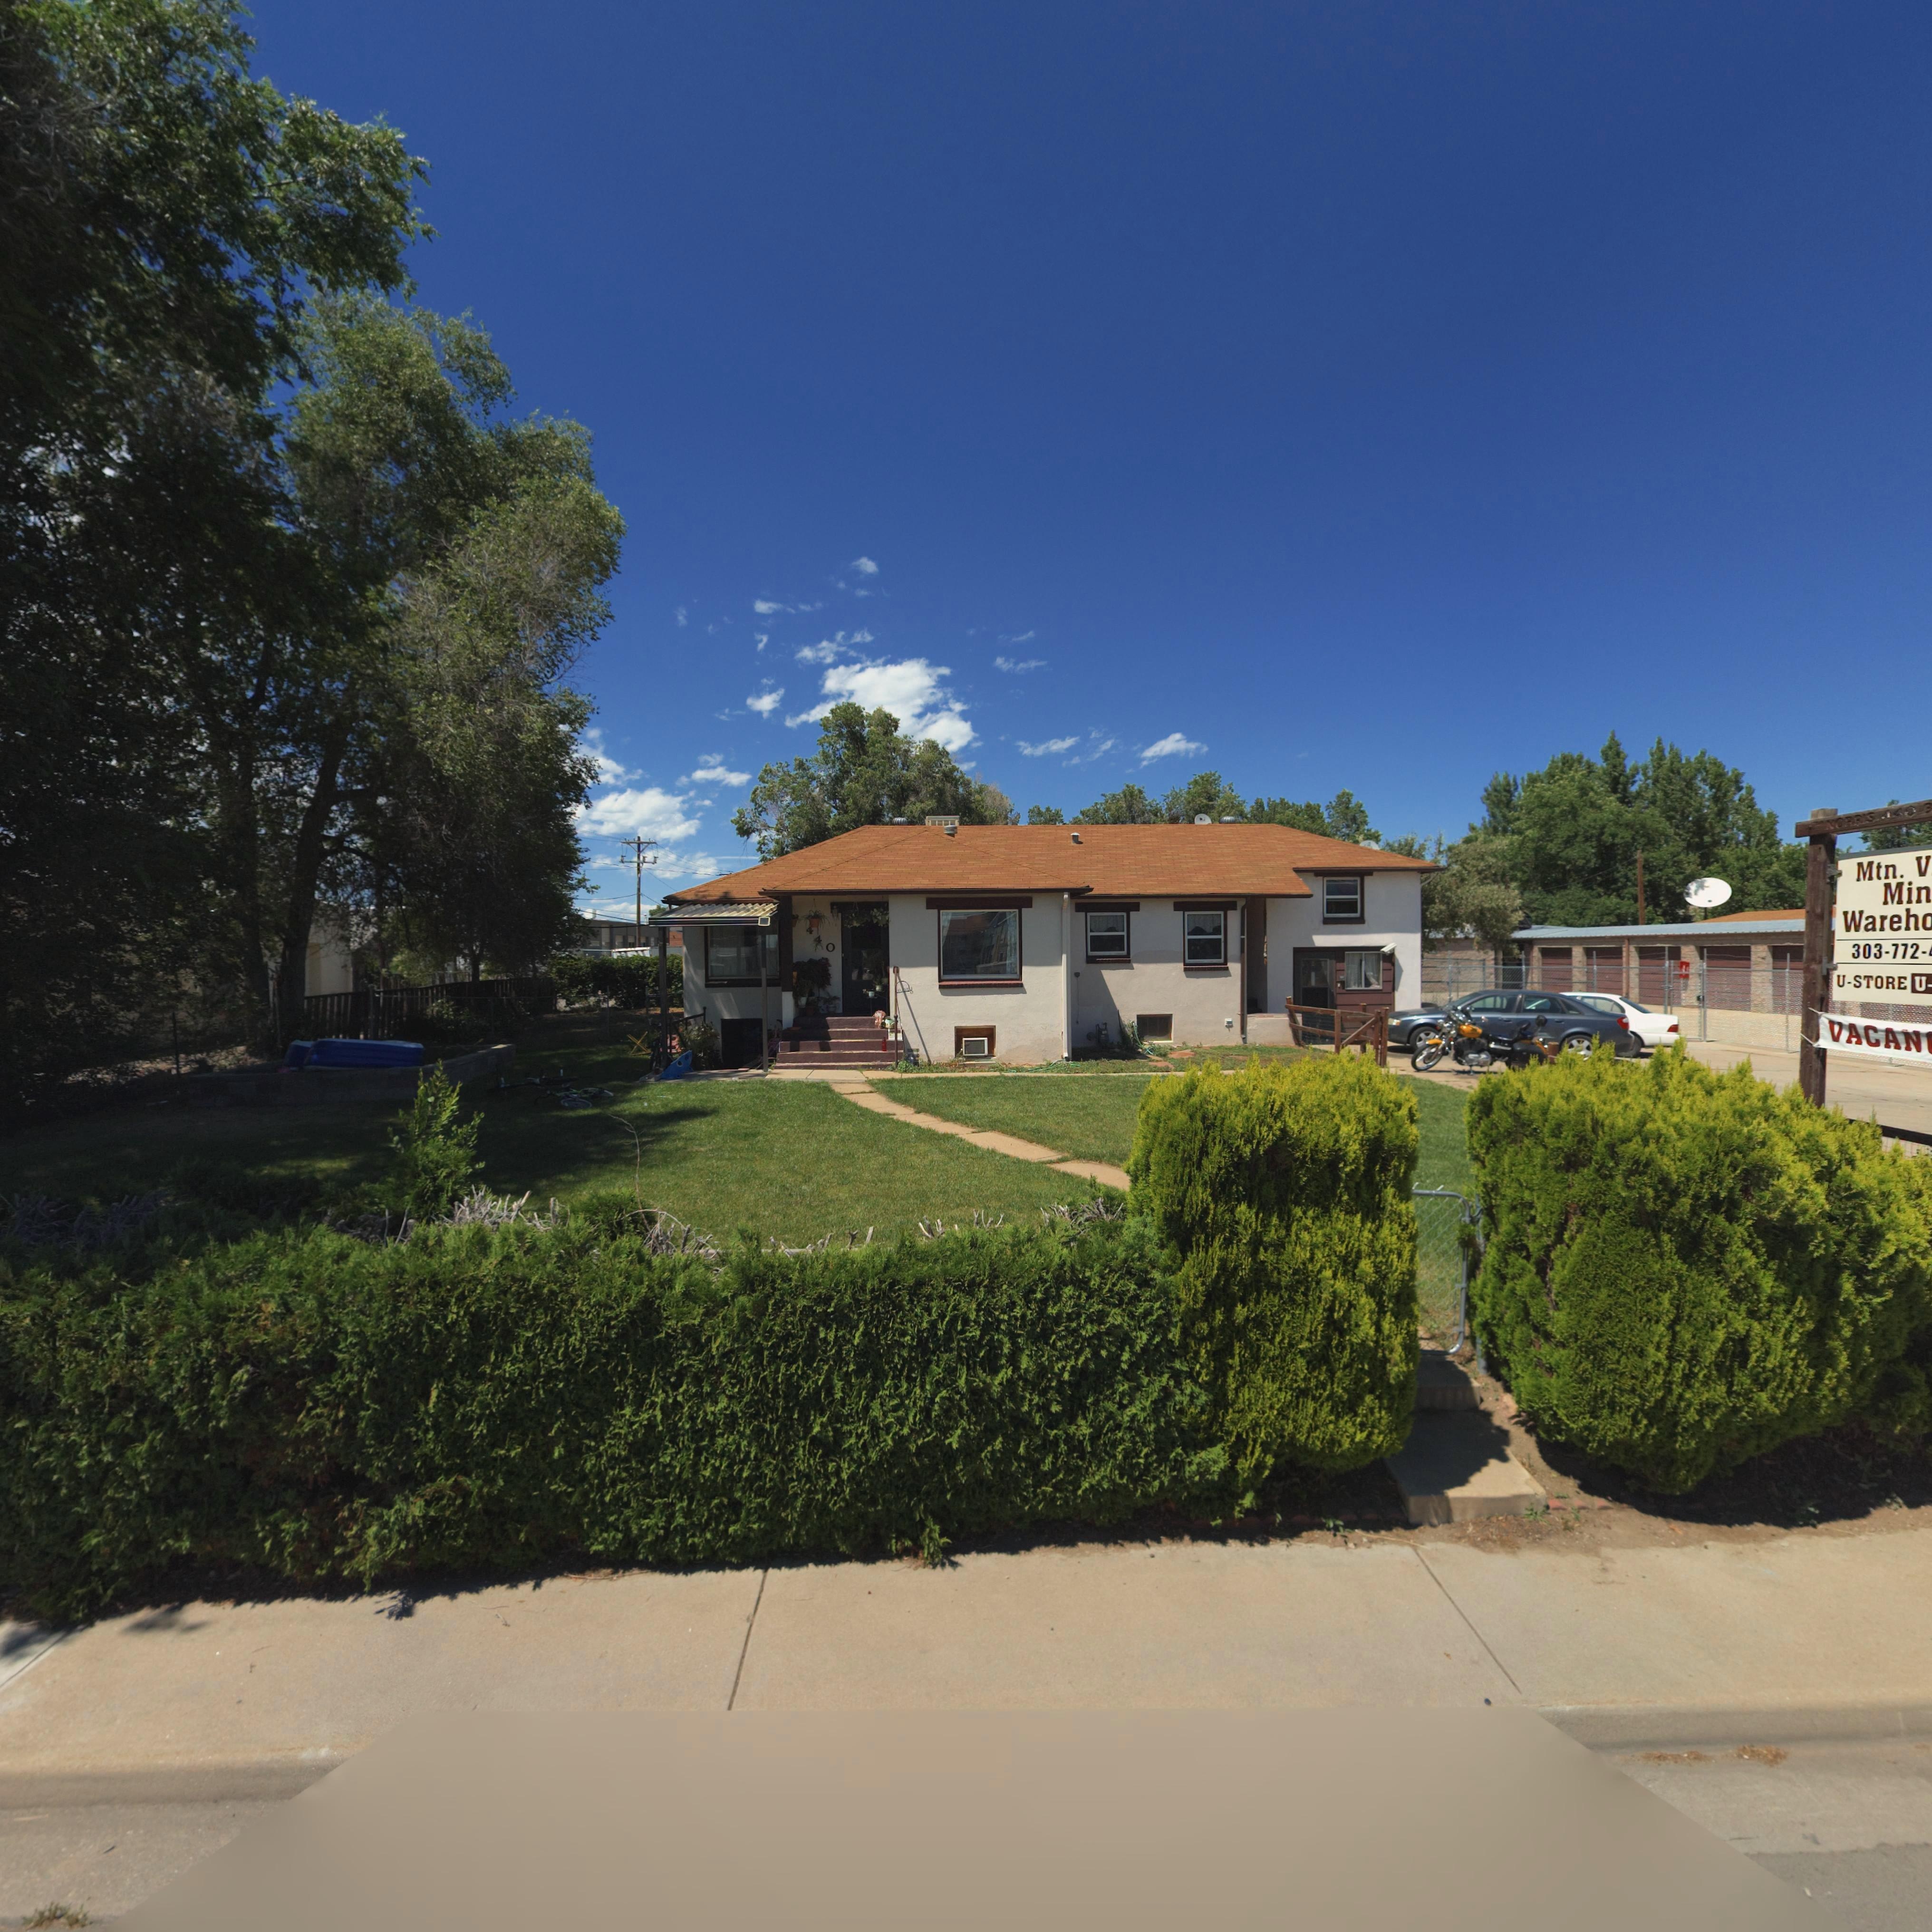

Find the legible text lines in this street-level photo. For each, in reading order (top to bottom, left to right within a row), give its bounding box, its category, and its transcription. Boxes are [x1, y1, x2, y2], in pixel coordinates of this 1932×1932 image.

[1879, 804, 1918, 821] StreetNumber: 440
[1855, 855, 1931, 882] BusinessName: Mtn. V
[1882, 880, 1931, 905] BusinessName: Min
[1842, 907, 1920, 932] BusinessName: Wareh
[805, 924, 836, 952] StreetNumber: 440